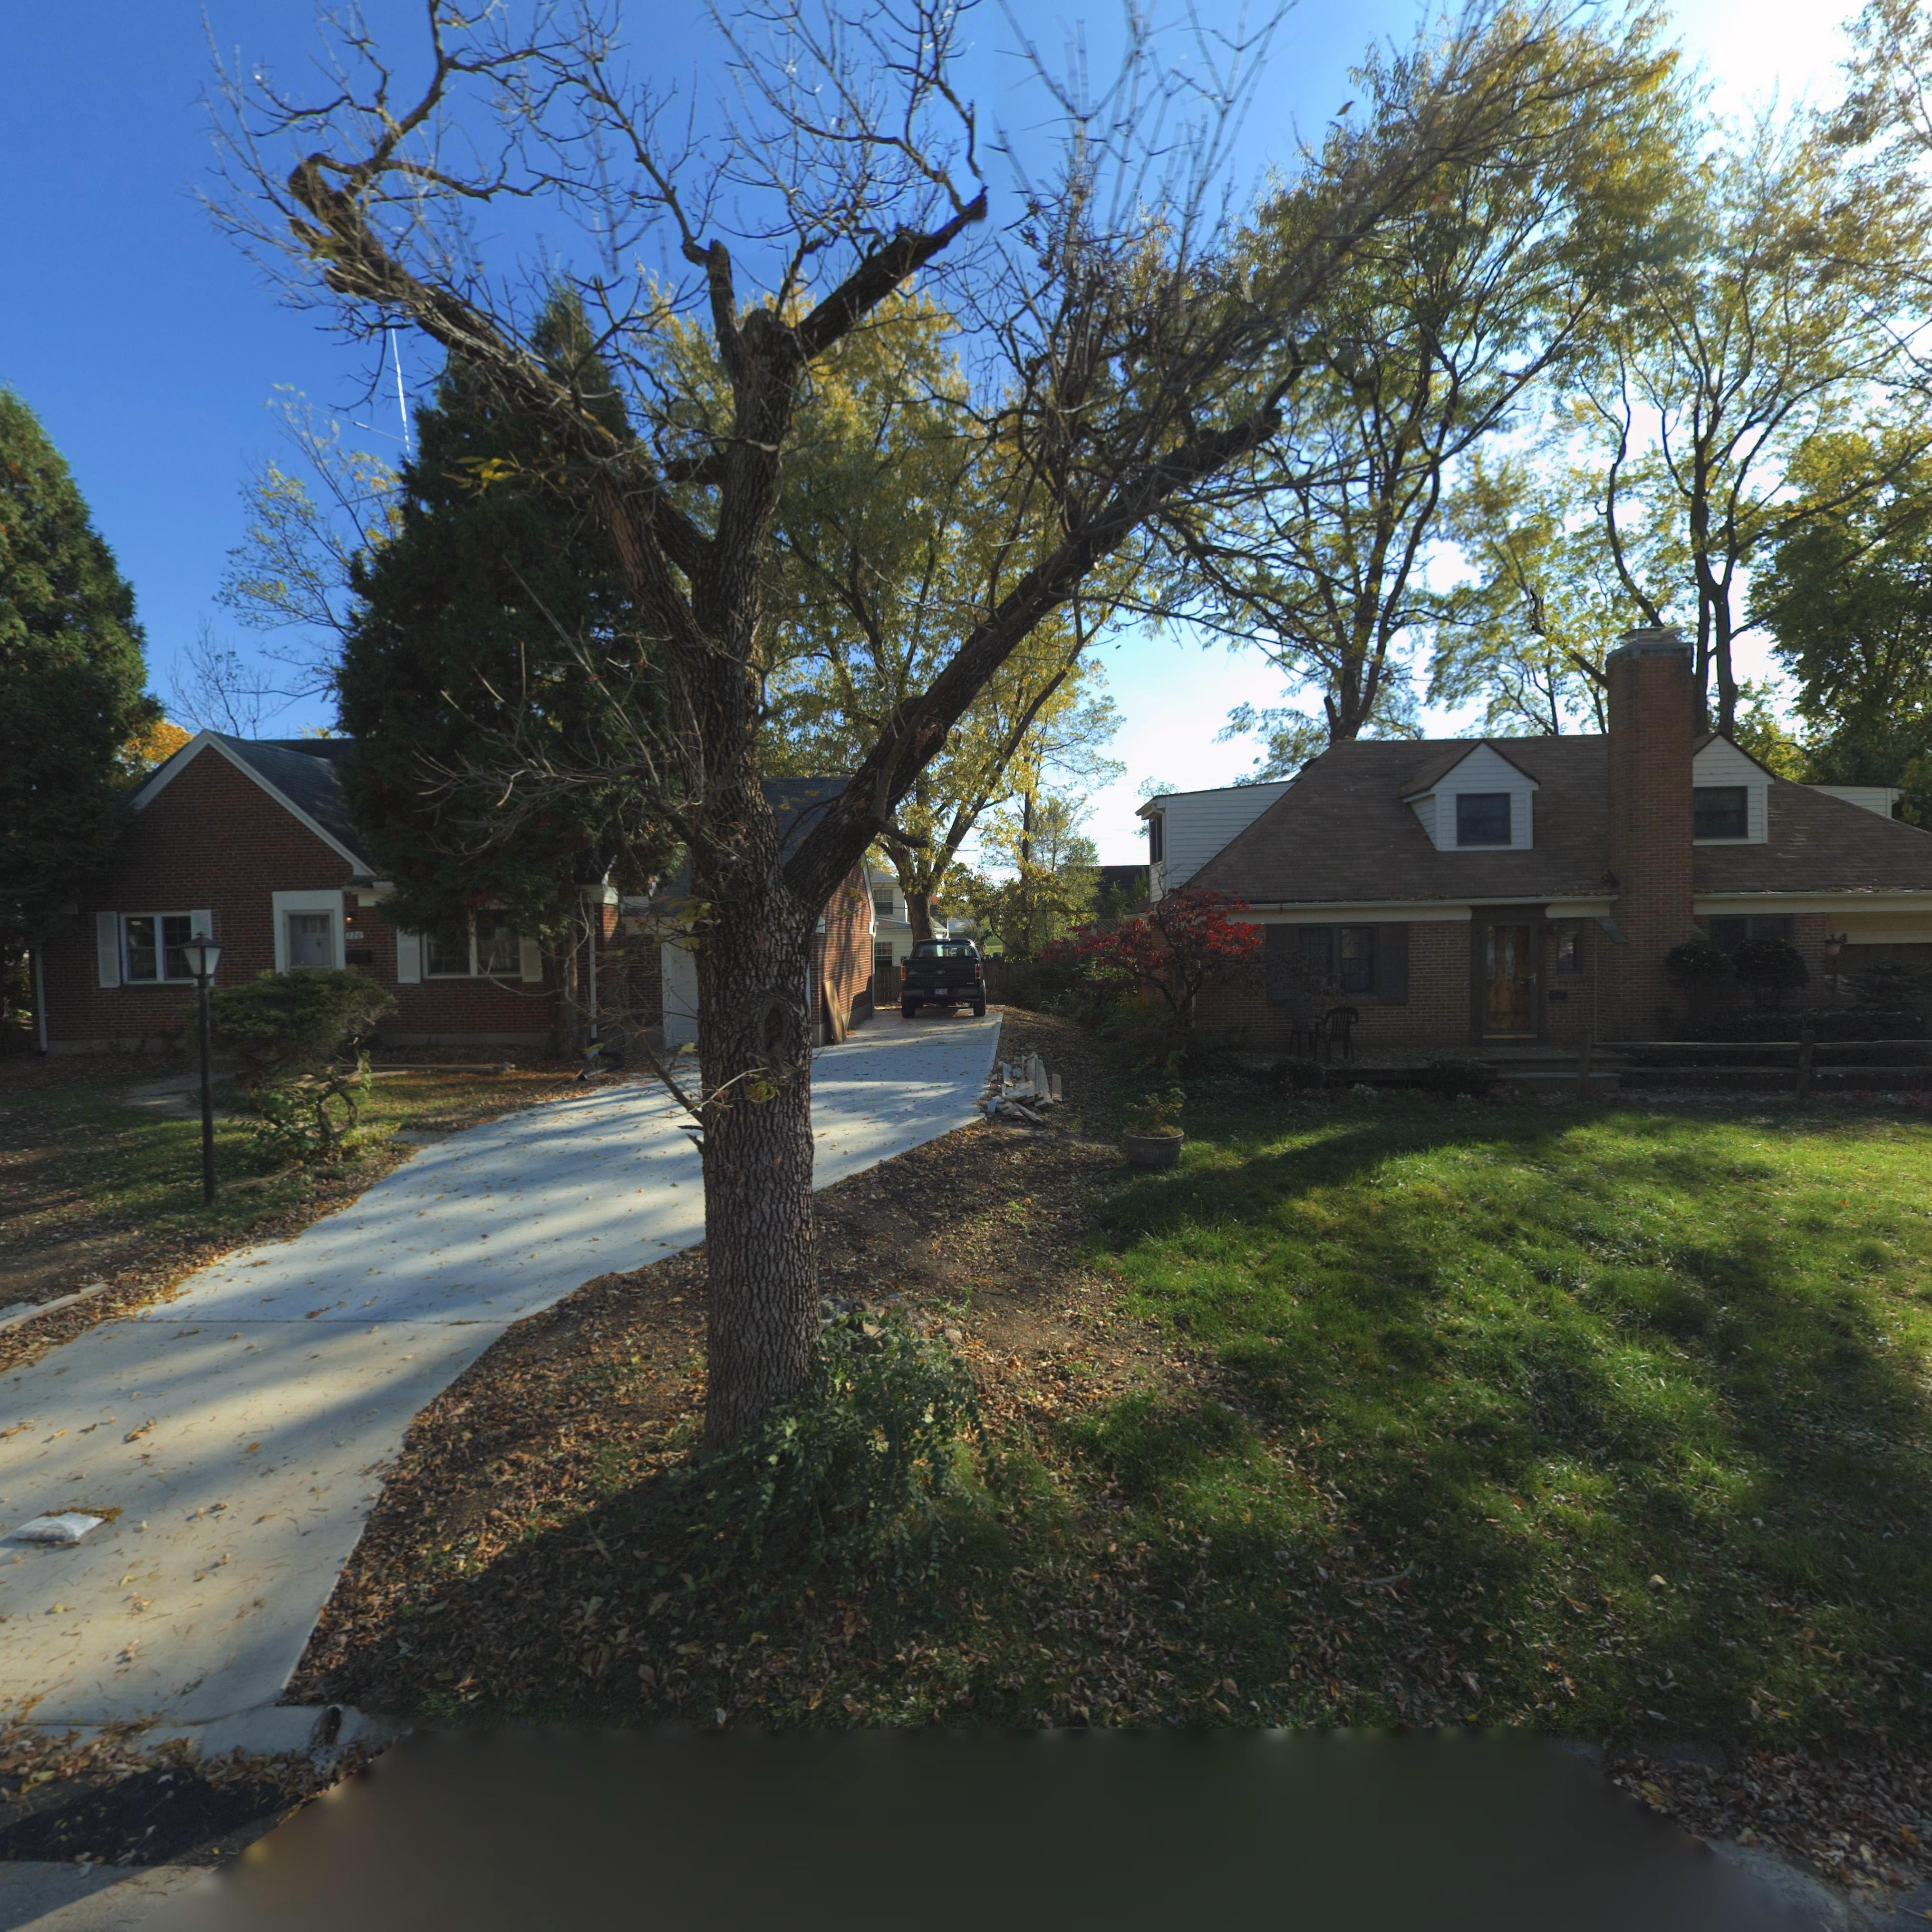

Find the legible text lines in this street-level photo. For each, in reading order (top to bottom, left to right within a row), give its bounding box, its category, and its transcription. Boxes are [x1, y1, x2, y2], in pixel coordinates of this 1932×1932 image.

[347, 931, 362, 939] StreetNumber: 220